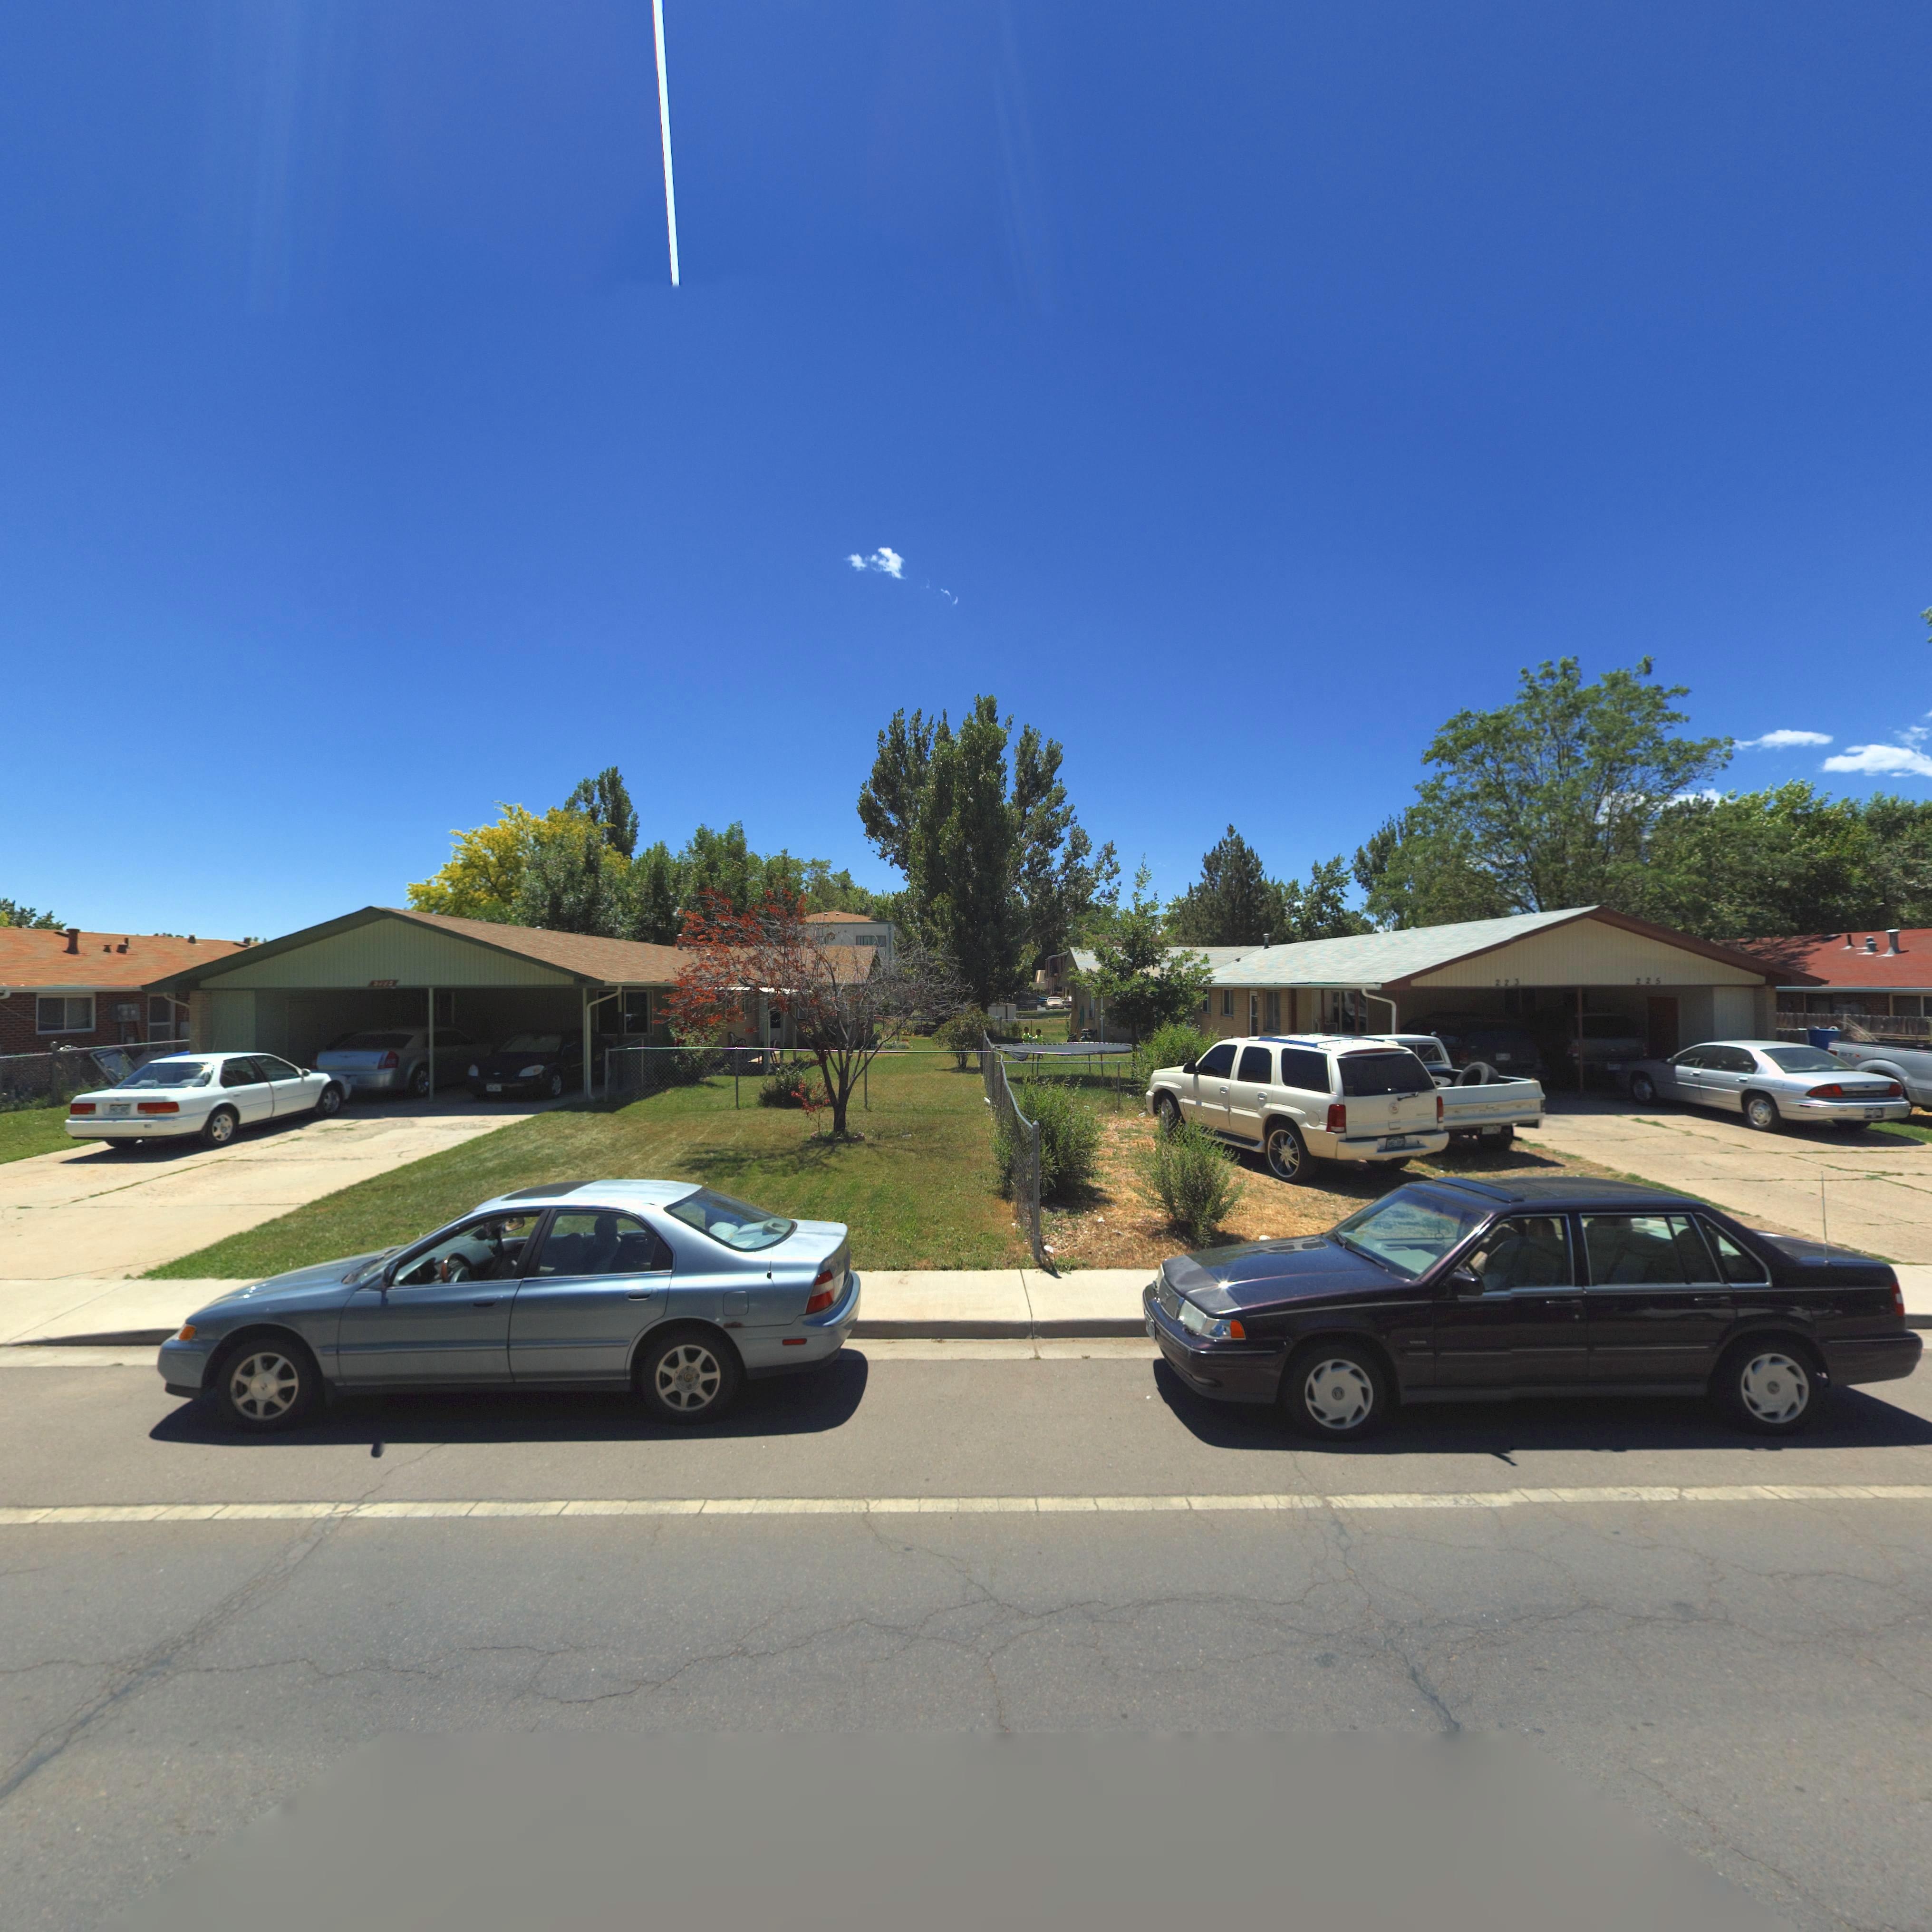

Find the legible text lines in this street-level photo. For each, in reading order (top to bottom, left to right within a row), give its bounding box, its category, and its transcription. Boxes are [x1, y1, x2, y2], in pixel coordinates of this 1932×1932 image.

[372, 981, 393, 986] StreetNumber: 2115
[1495, 977, 1520, 986] StreetNumber: 223
[1635, 976, 1661, 985] StreetNumber: 225